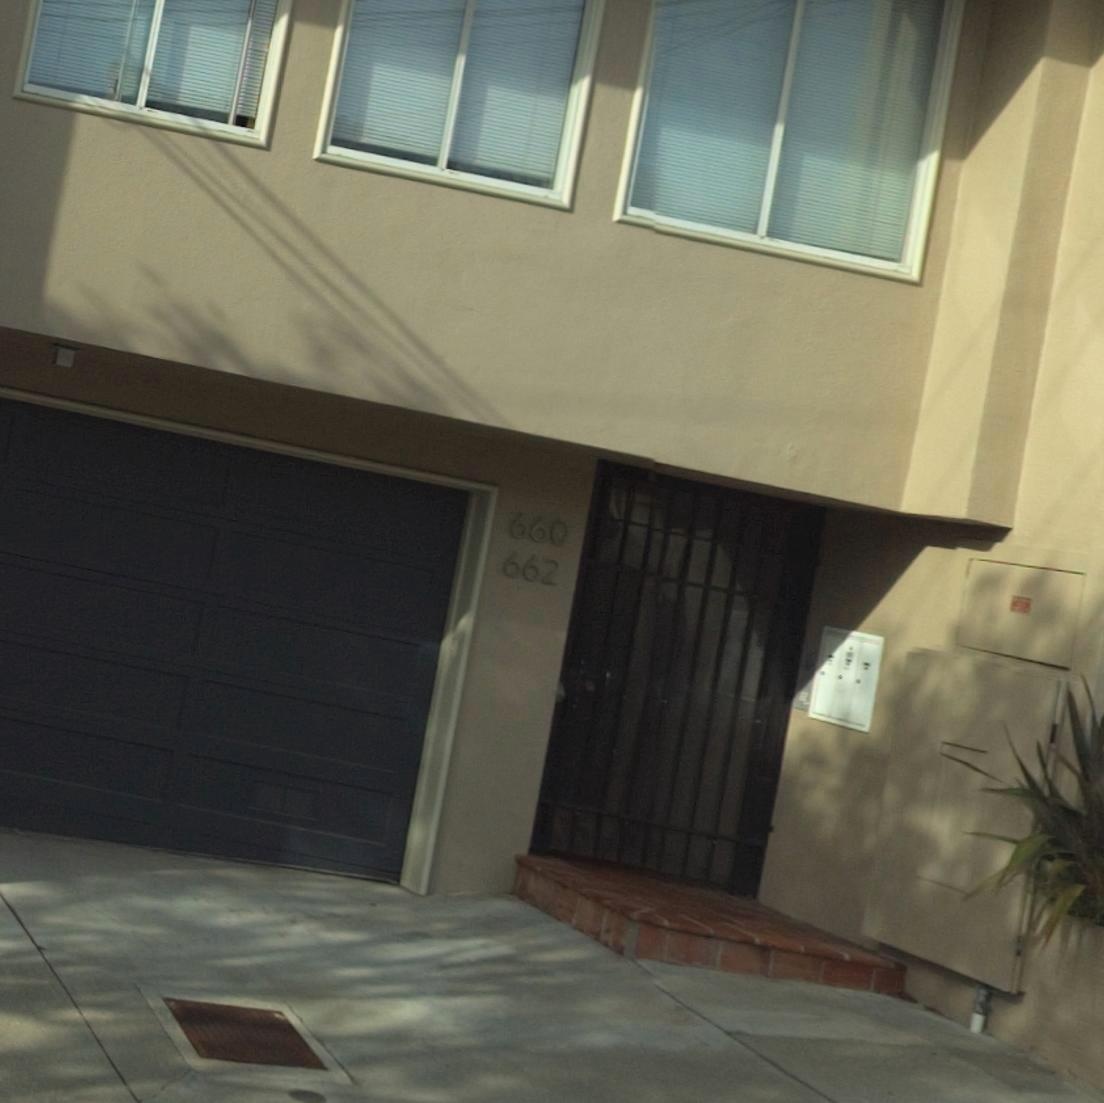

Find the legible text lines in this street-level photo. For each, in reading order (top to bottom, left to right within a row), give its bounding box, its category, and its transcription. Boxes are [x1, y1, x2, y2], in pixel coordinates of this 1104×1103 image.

[506, 511, 570, 548] StreetNumber: 660
[501, 548, 562, 587] StreetNumber: 662